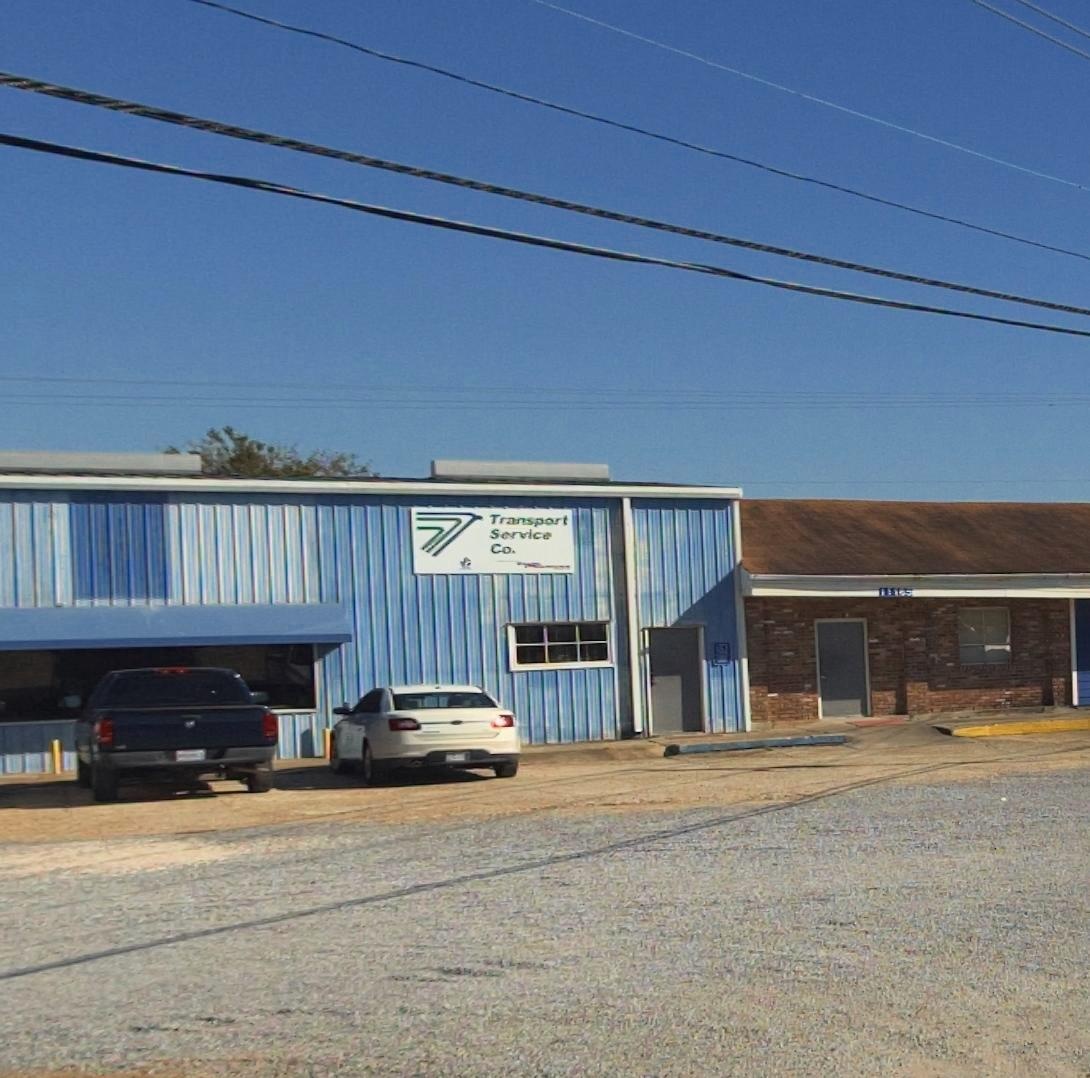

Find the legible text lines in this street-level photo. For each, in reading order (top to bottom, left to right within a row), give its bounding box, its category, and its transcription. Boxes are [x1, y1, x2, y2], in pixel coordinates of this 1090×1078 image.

[487, 511, 571, 528] BusinessName: Transport
[486, 525, 555, 542] BusinessName: Service
[487, 540, 519, 557] BusinessName: Co.
[876, 586, 916, 598] StreetNumber: 111*5